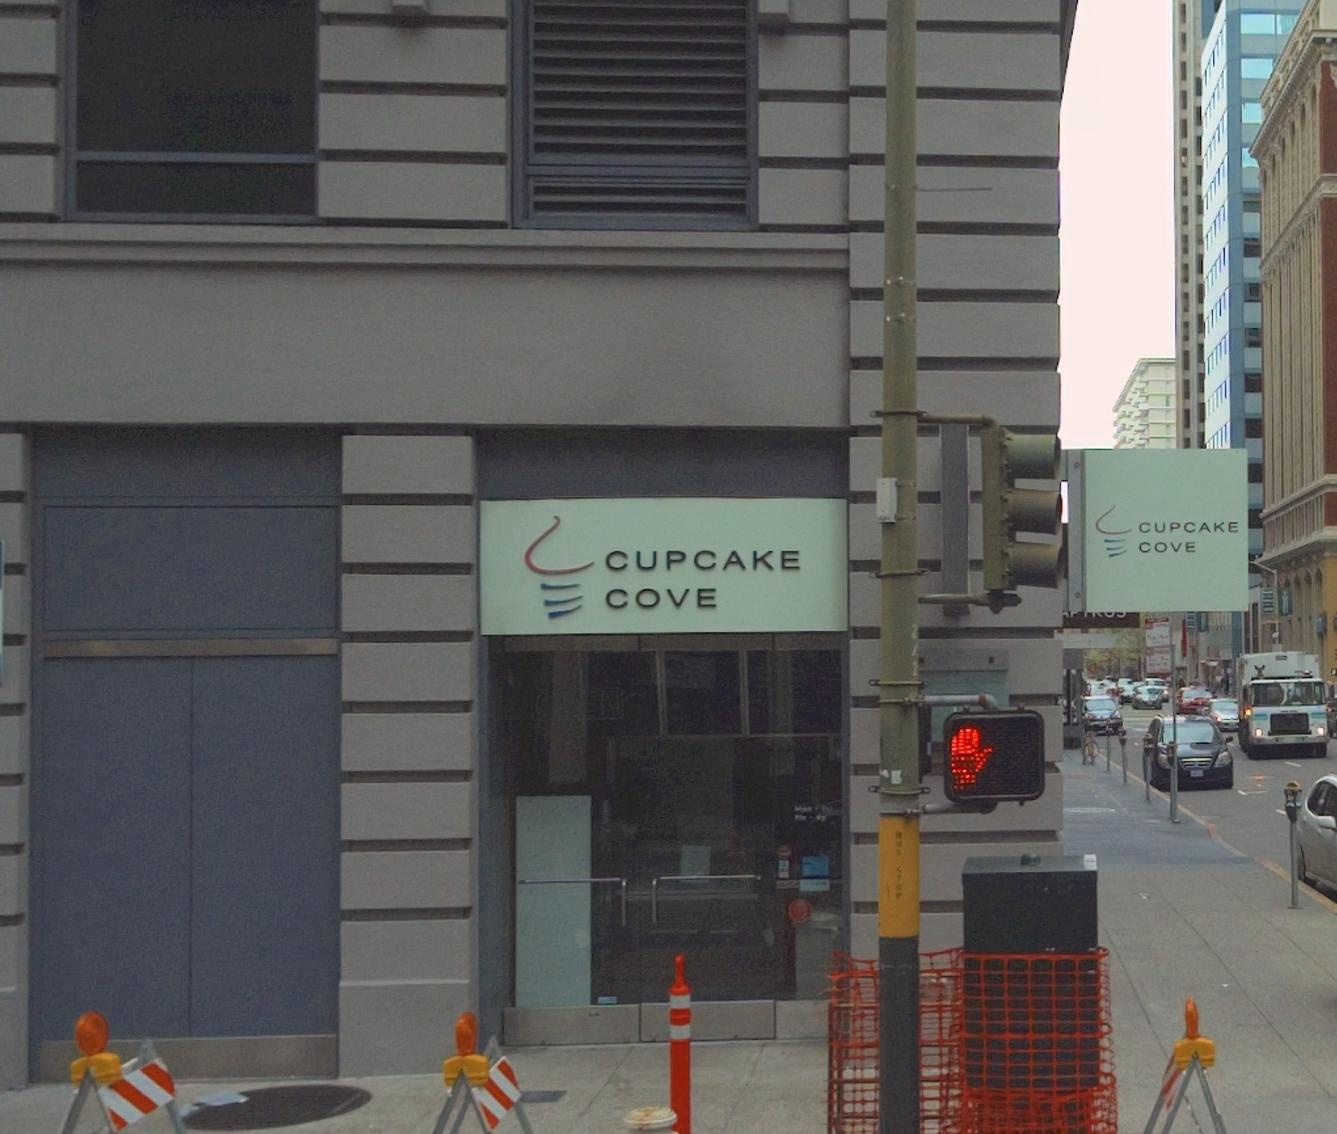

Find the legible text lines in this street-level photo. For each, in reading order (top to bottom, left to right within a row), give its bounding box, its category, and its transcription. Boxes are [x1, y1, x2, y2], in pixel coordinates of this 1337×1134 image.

[1135, 519, 1241, 536] BusinessName: CUPCAKE
[600, 547, 803, 574] BusinessName: CUPCAKE
[1135, 539, 1198, 556] BusinessName: COVE
[602, 585, 719, 612] BusinessName: COVE
[910, 620, 921, 679] None: 2*2
[597, 685, 625, 721] None: N
[892, 864, 905, 901] None: STOP